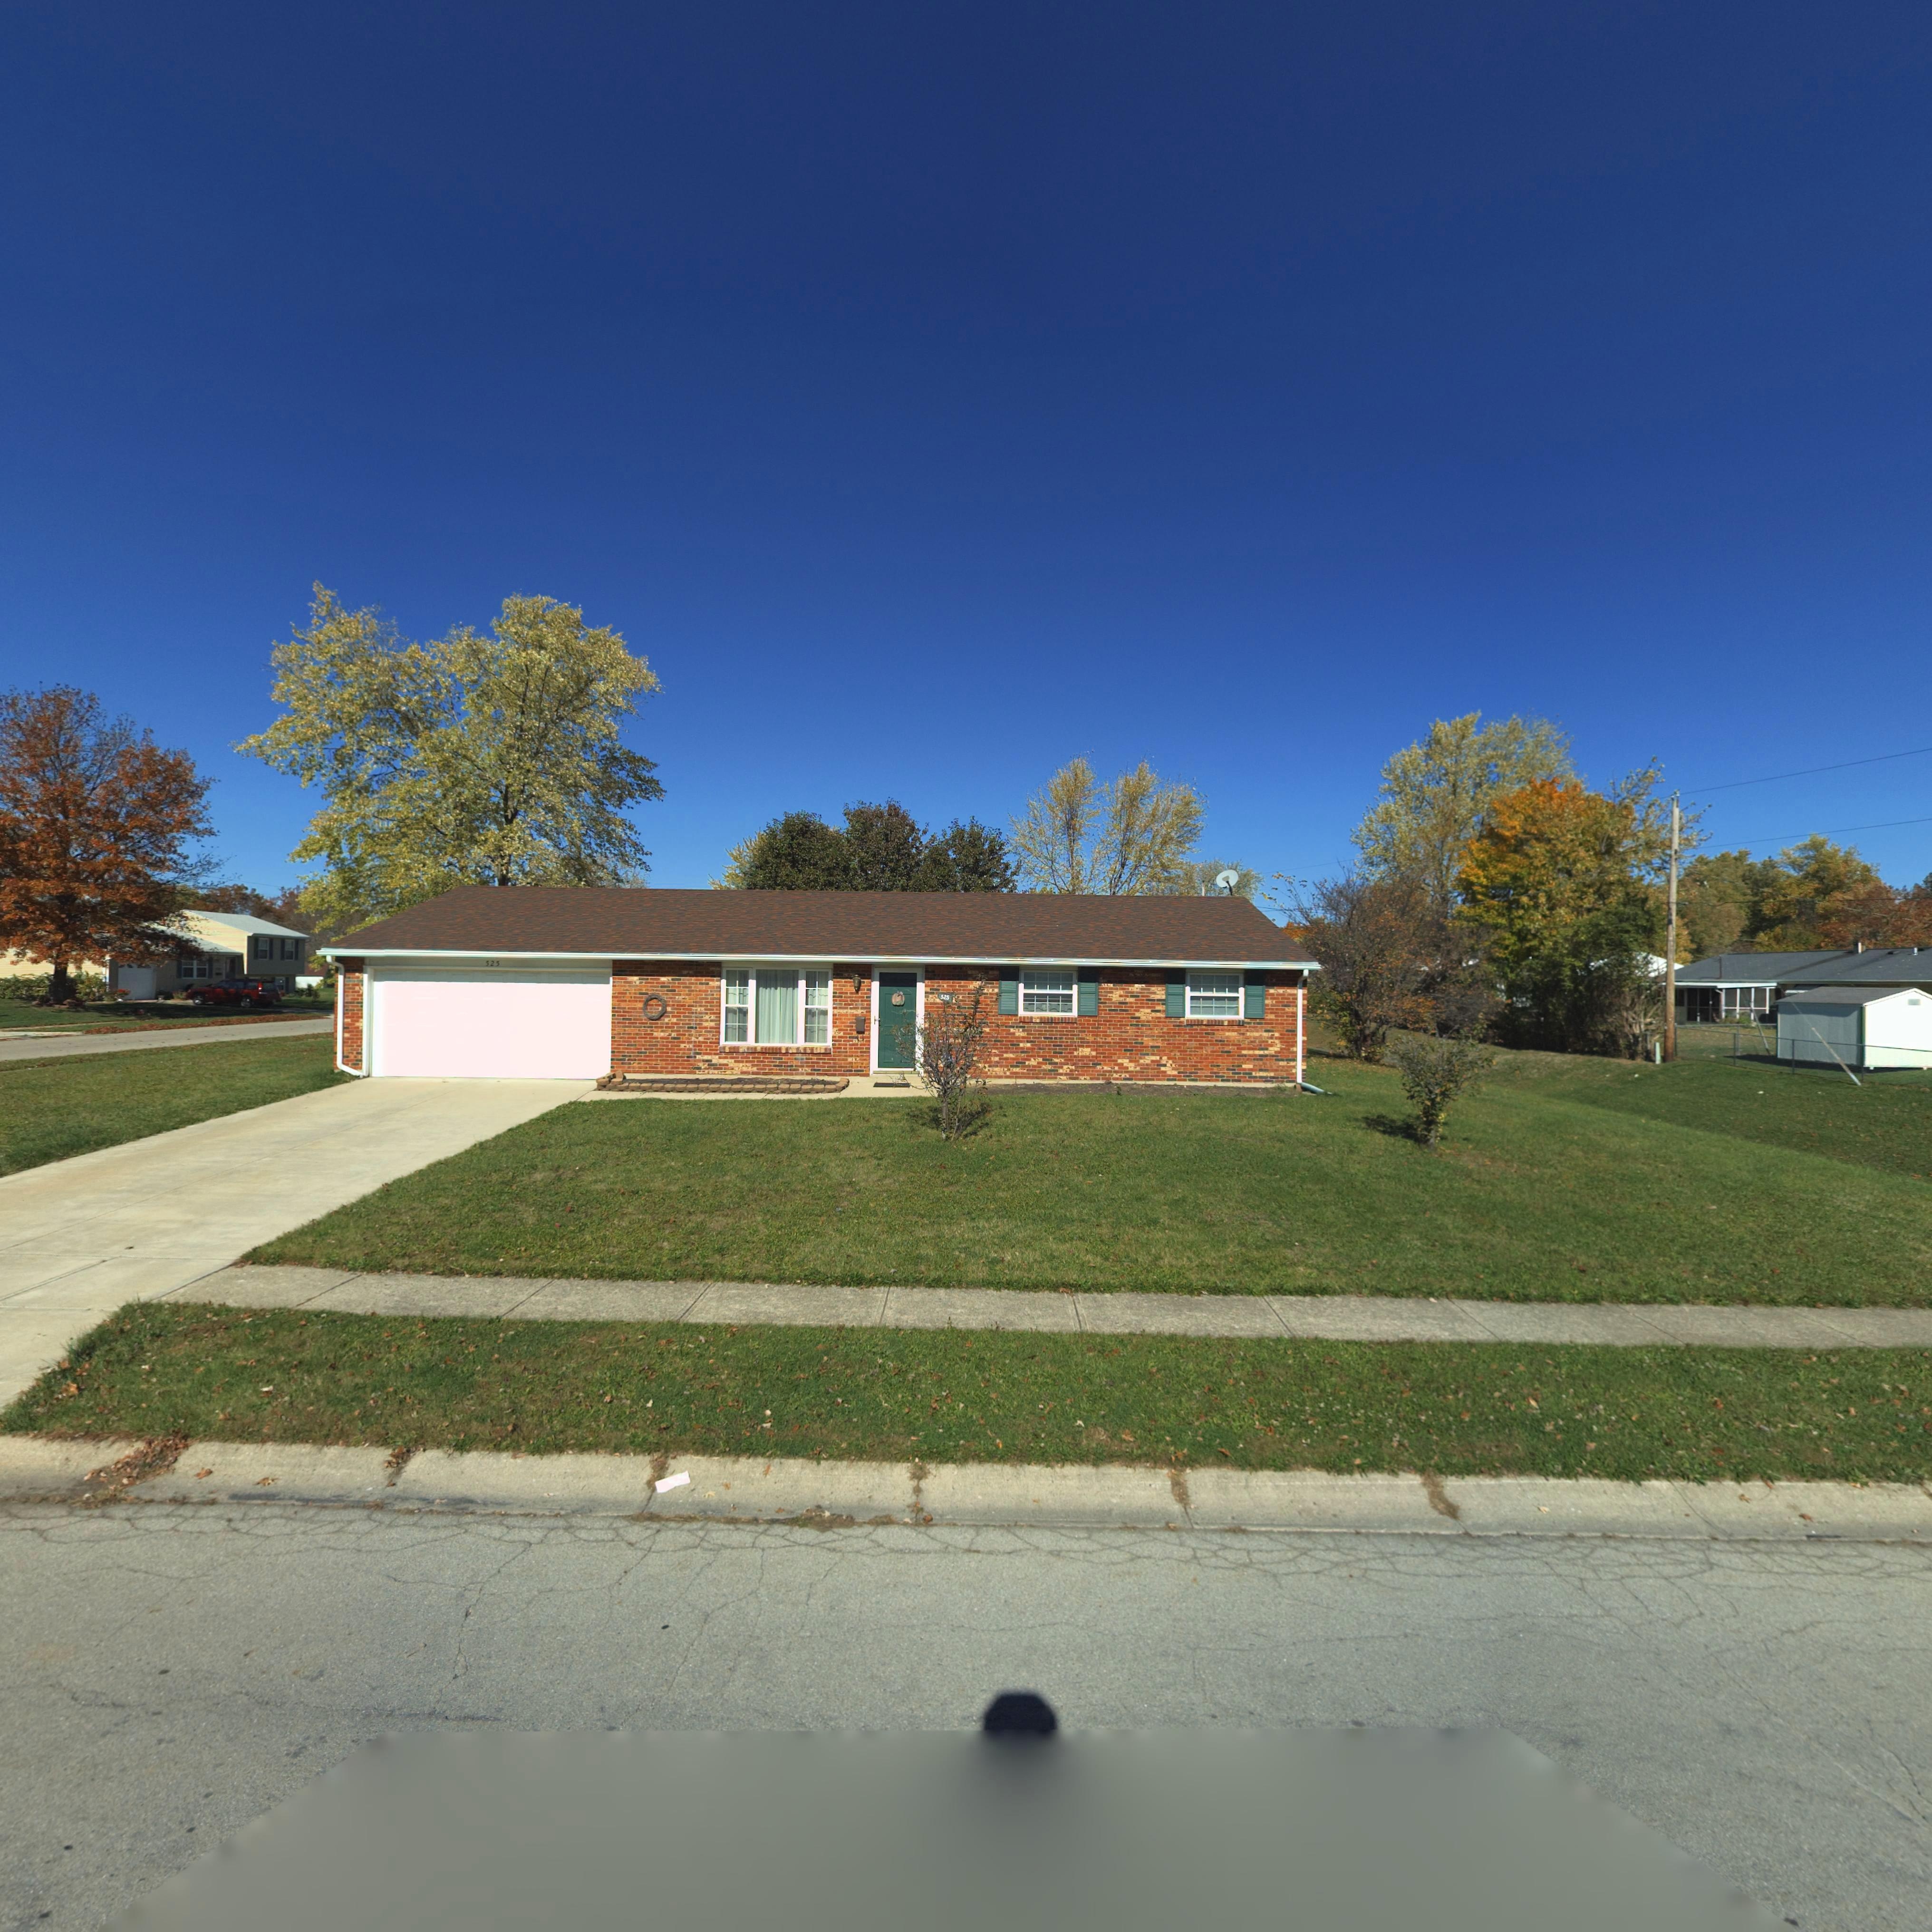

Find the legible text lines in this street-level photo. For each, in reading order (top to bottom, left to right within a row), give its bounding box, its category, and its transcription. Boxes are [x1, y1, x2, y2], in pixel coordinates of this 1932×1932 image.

[485, 960, 501, 967] StreetNumber: 525
[939, 993, 950, 1001] StreetNumber: 525